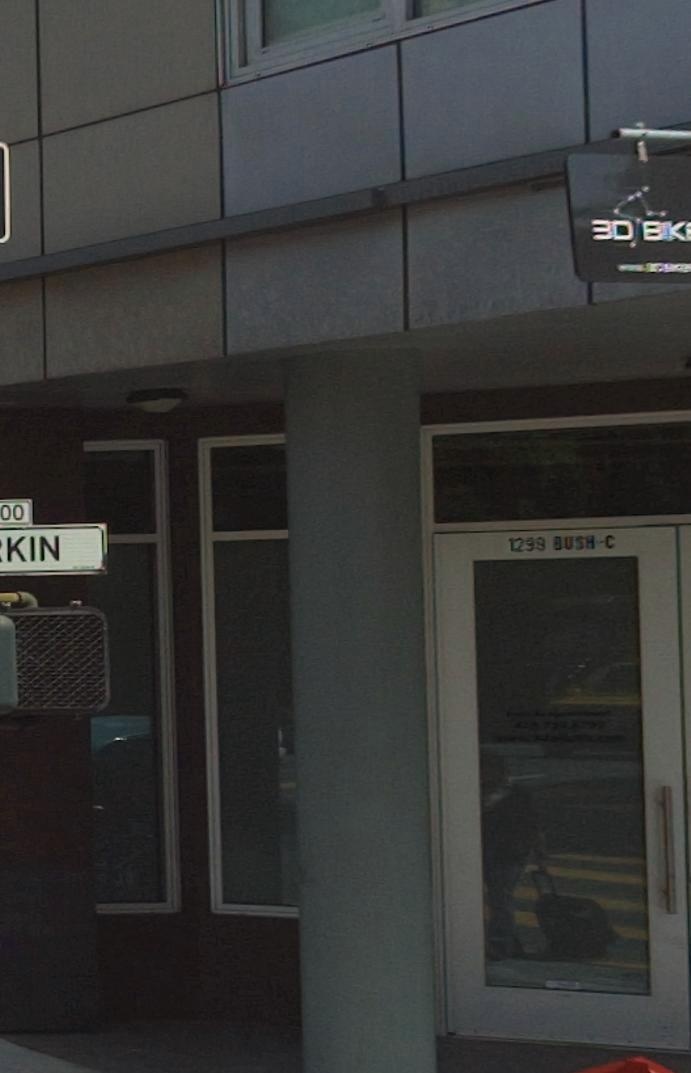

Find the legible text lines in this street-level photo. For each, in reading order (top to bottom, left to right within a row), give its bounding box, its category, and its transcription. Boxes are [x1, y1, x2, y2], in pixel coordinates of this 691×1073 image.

[589, 218, 686, 243] None: 3D B*k
[0, 504, 26, 521] StreetNumberRange: 00
[6, 533, 61, 564] StreetName: KIN
[506, 535, 547, 554] StreetNumber: 1298
[552, 533, 596, 551] StreetName: BUSH
[603, 533, 618, 551] StreetNumber: C